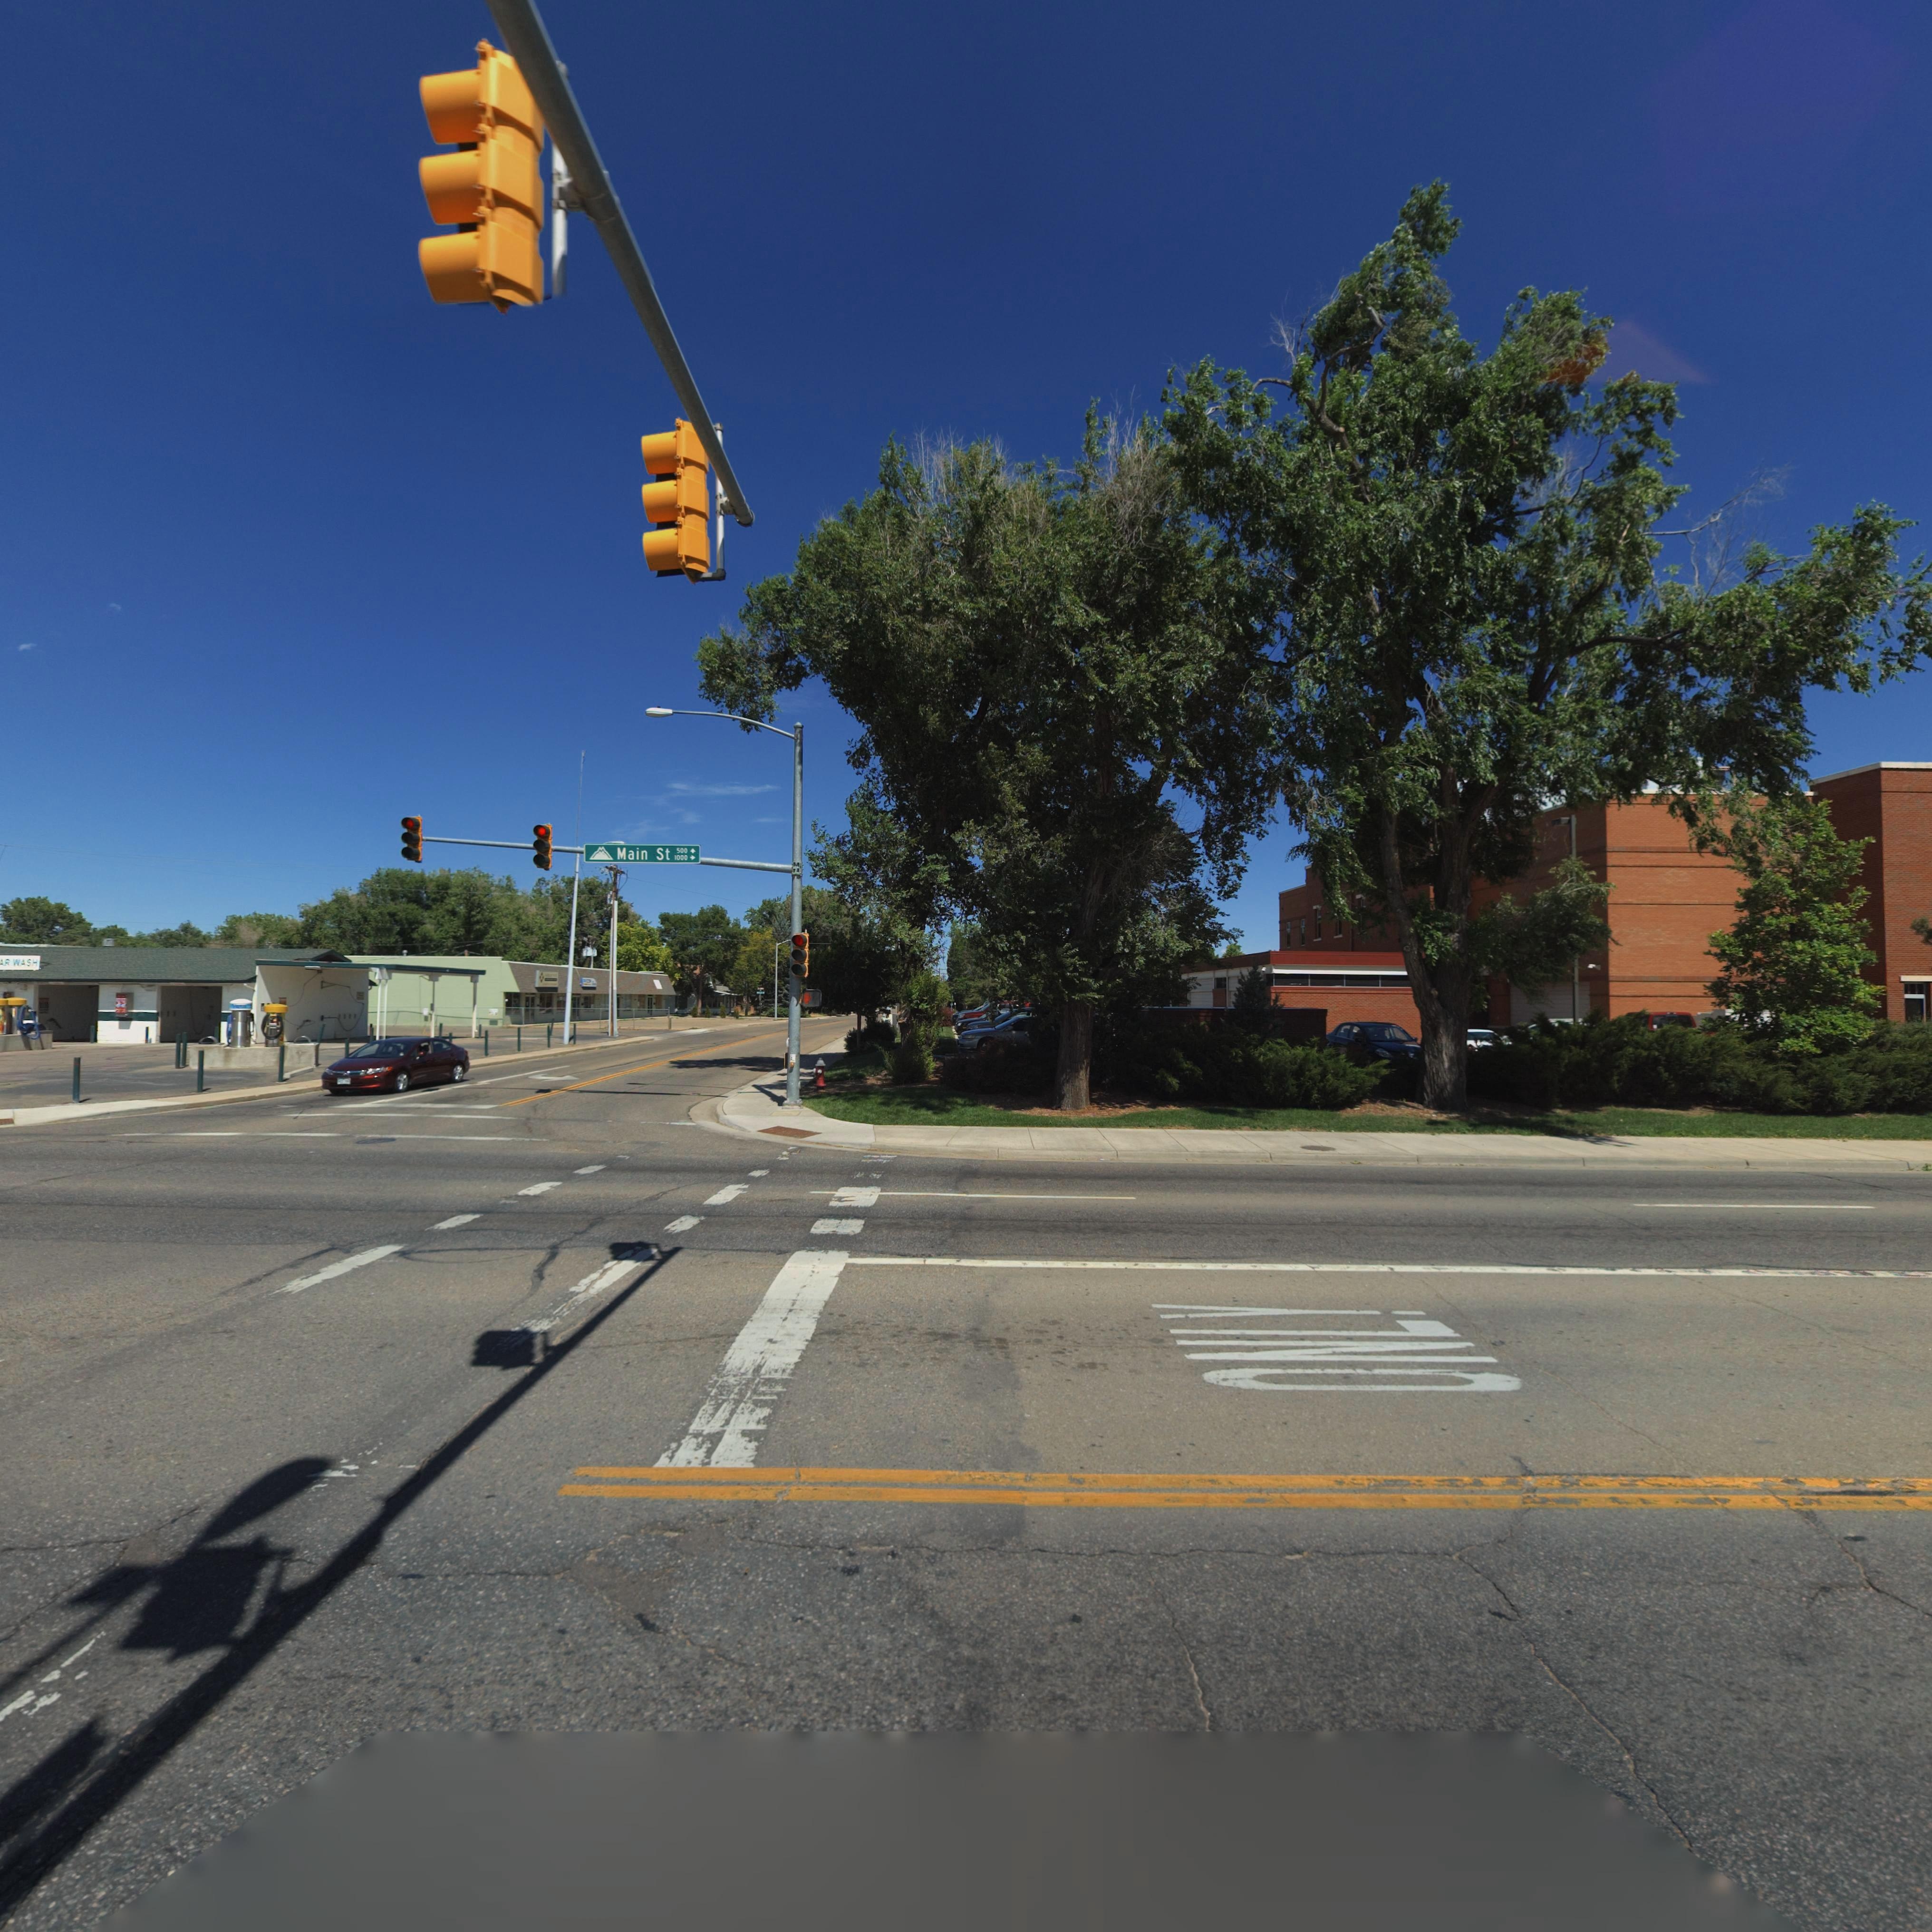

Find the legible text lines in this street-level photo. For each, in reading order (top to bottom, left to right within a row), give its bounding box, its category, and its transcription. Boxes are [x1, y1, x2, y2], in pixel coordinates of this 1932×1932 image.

[617, 847, 671, 860] StreetName: Main St
[676, 847, 687, 853] StreetNumberRange: 500
[674, 854, 696, 860] StreetNumberRange: 1000 ->
[1, 958, 39, 966] BusinessName: *R WASH